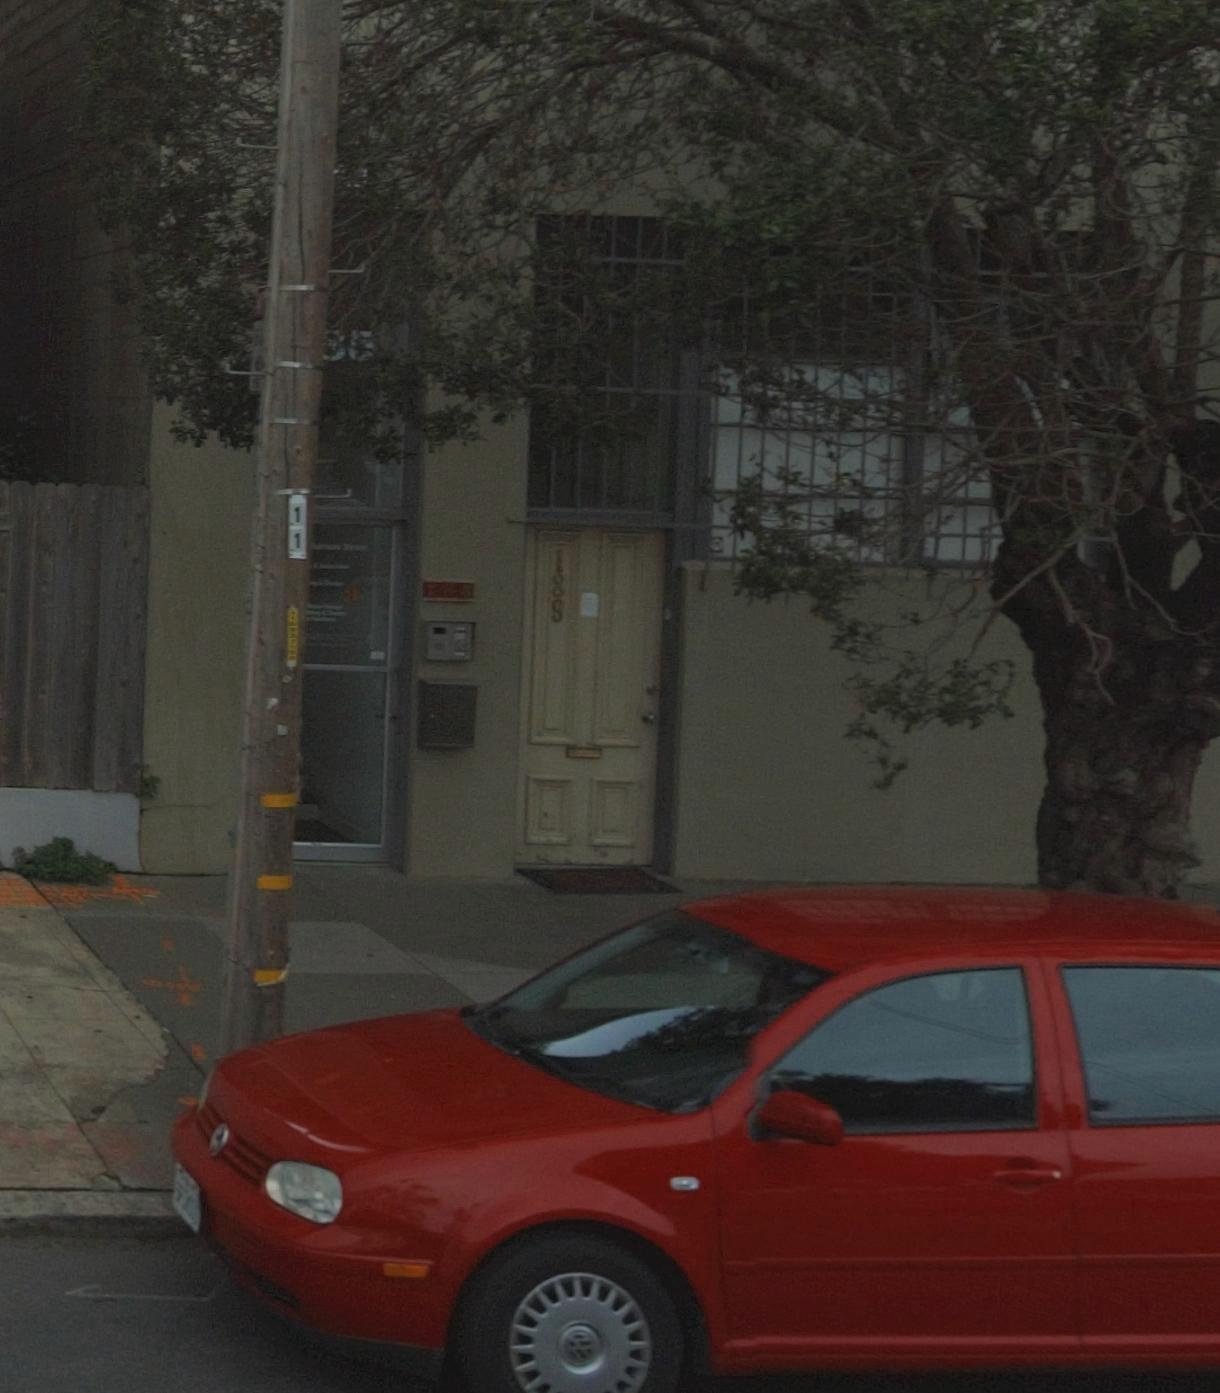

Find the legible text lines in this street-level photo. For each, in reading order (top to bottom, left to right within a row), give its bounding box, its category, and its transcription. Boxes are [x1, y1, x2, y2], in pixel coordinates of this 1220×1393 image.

[292, 500, 301, 552] None: 11
[548, 547, 566, 624] StreetNumber: 189